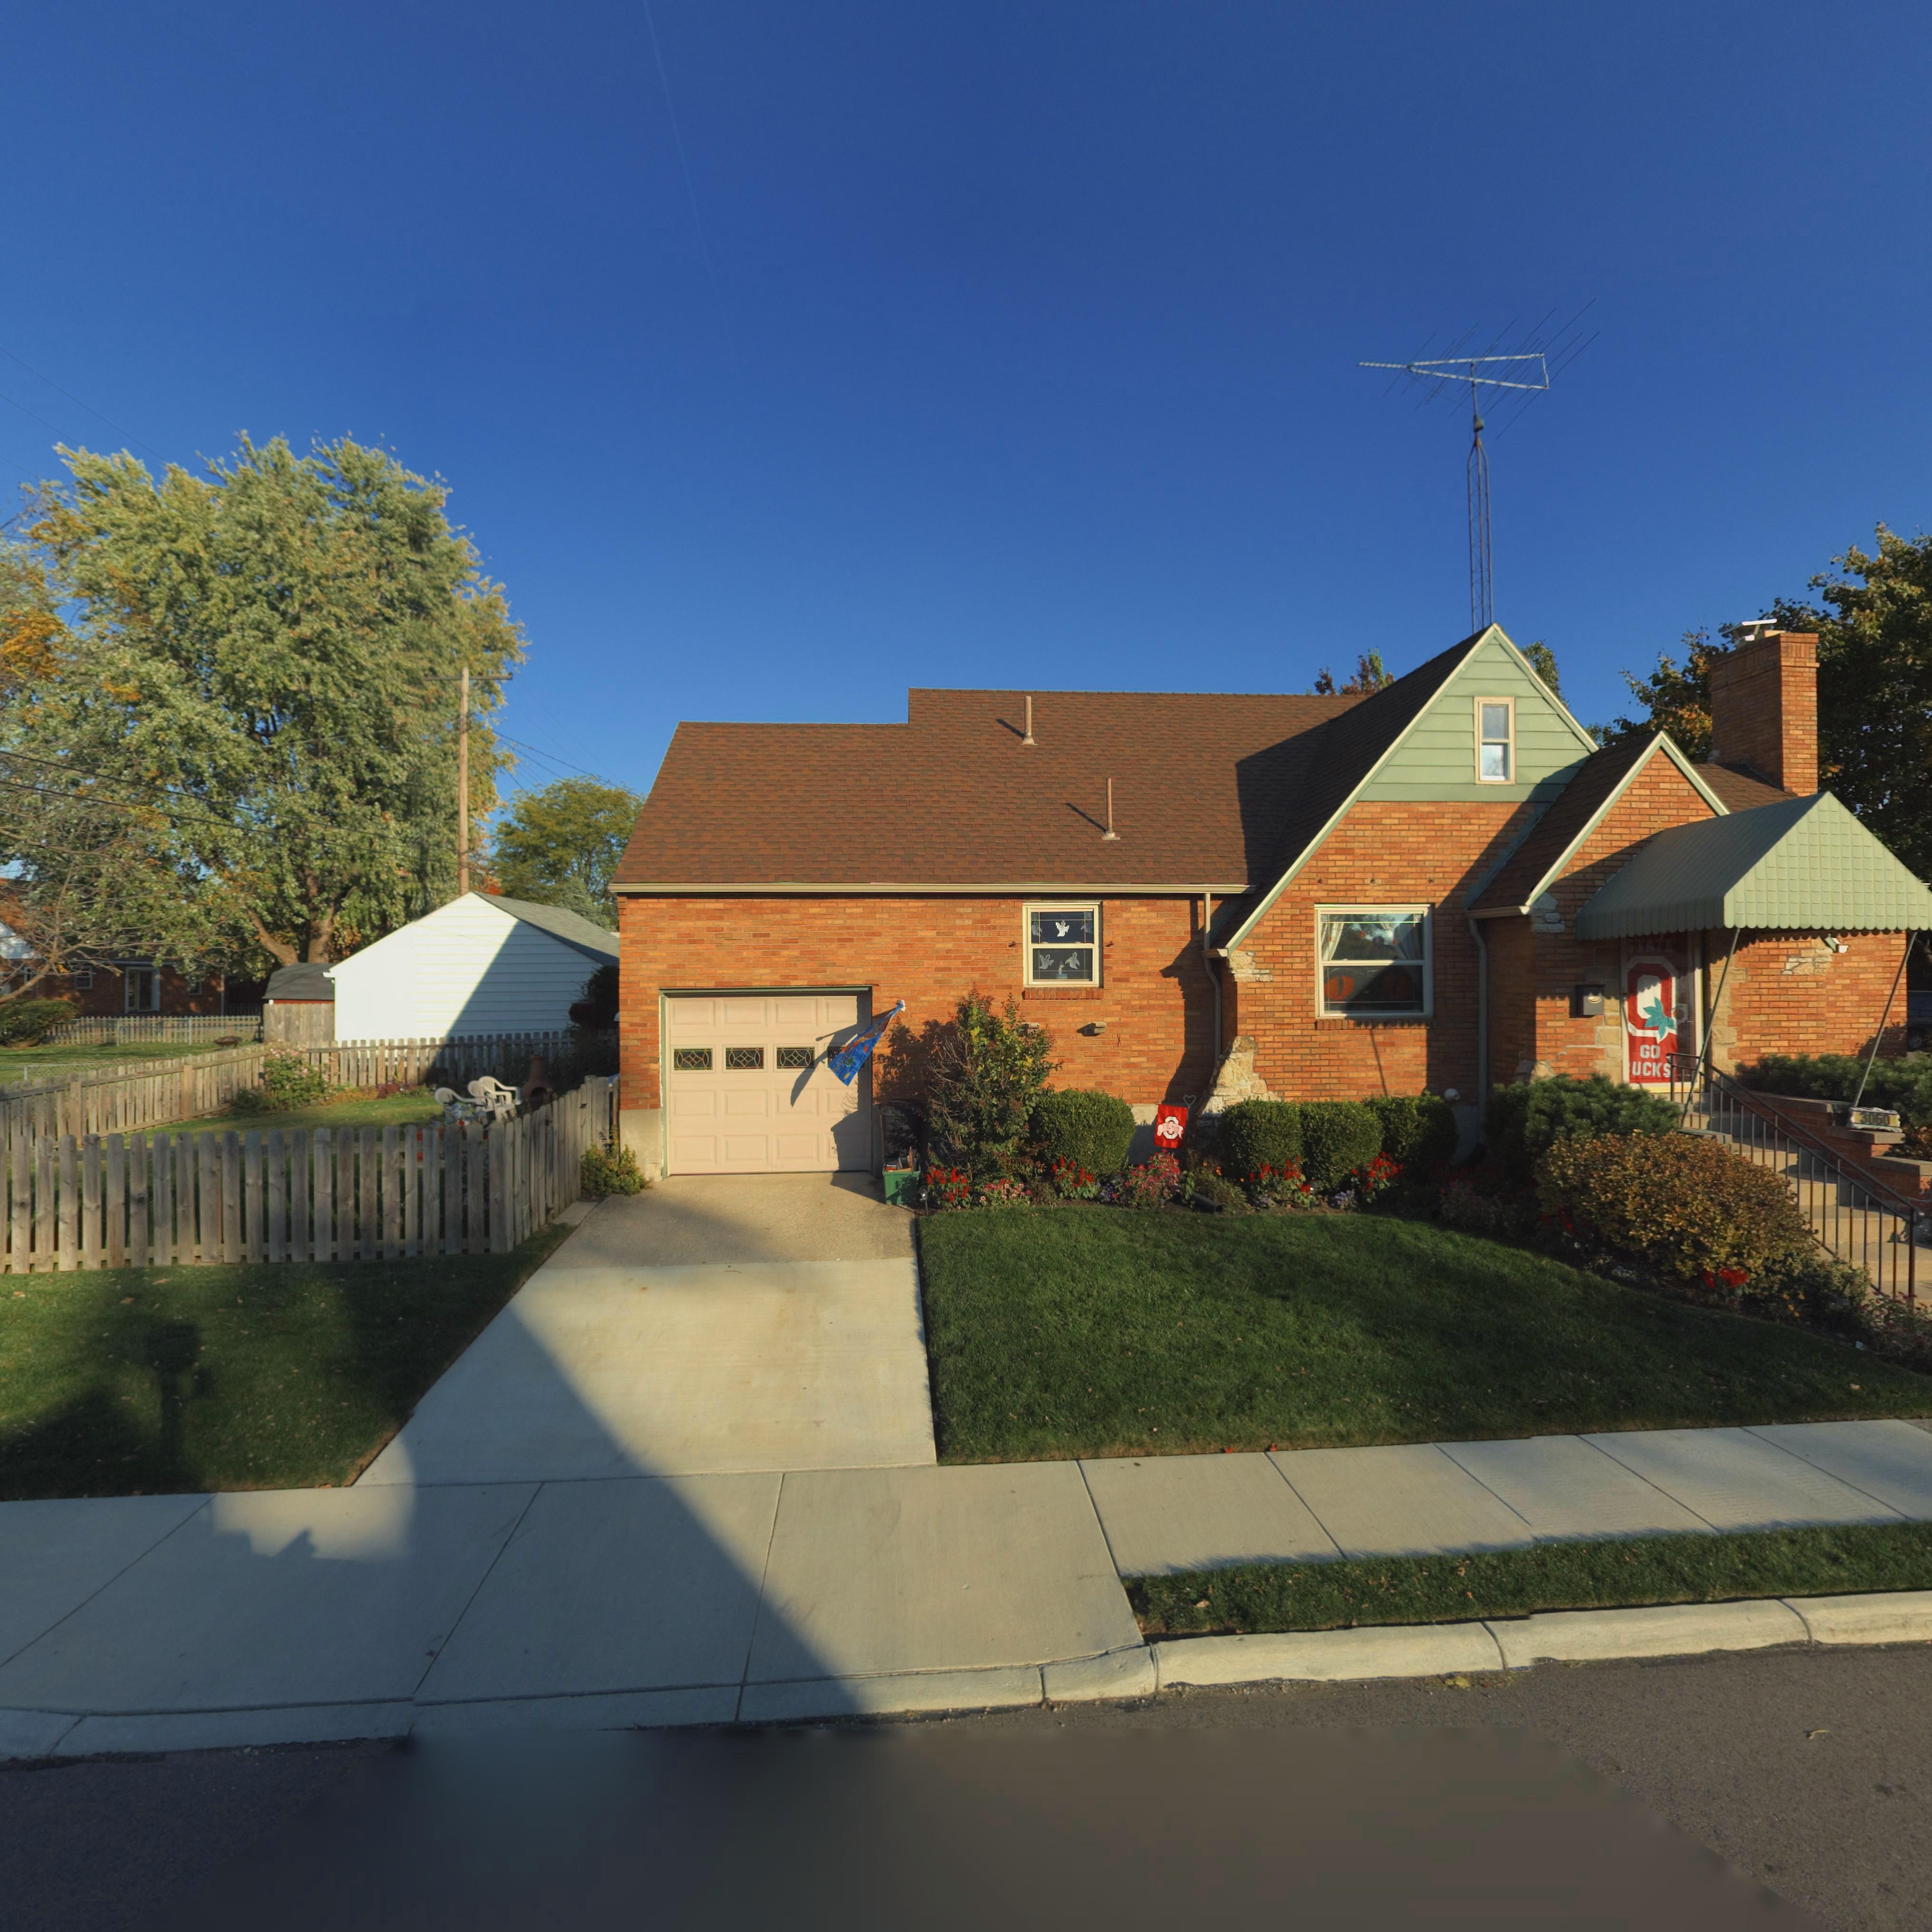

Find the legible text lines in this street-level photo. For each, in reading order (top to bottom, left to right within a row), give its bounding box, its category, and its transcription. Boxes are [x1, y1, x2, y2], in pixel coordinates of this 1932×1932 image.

[1168, 1121, 1174, 1134] None: S
[1858, 1109, 1892, 1128] StreetNumber: 3060